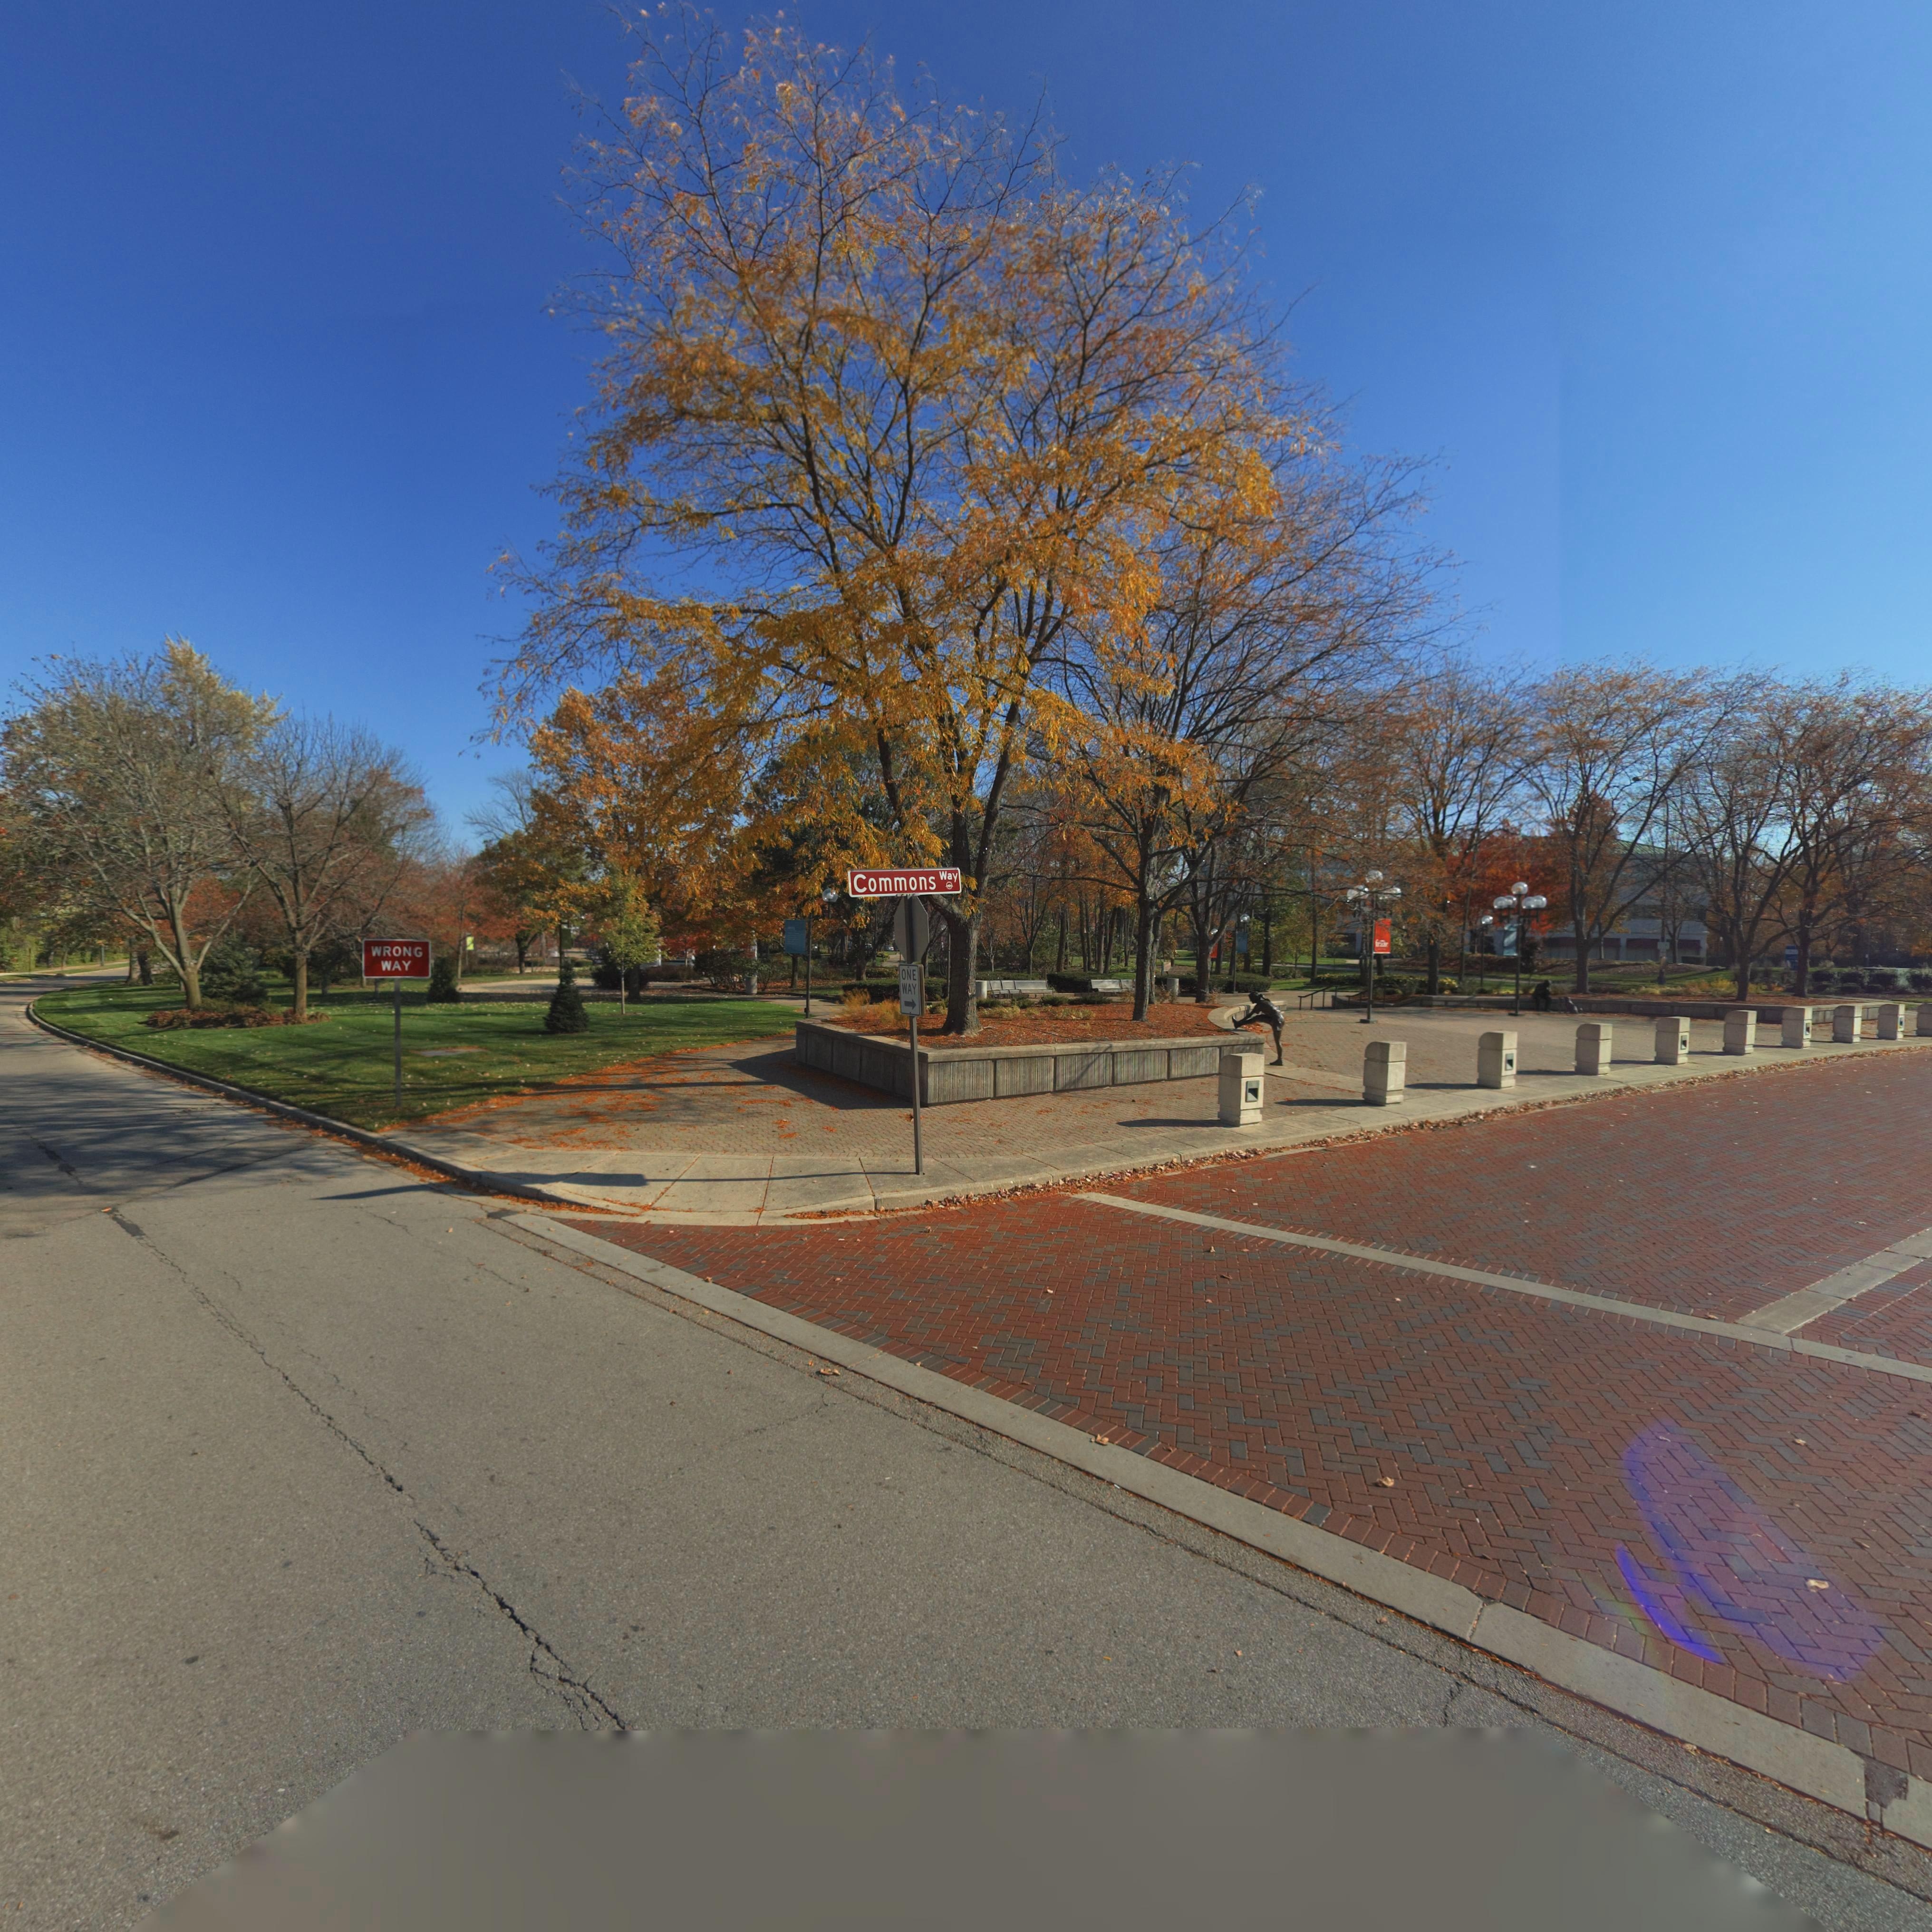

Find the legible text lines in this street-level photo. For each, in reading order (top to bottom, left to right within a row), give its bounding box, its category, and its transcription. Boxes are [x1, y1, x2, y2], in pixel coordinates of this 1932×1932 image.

[853, 870, 958, 894] StreetName: Commons Way
[370, 945, 423, 957] None: WRONG
[379, 960, 412, 971] None: WAY
[901, 968, 917, 981] None: ONE
[901, 982, 918, 995] None: WAY